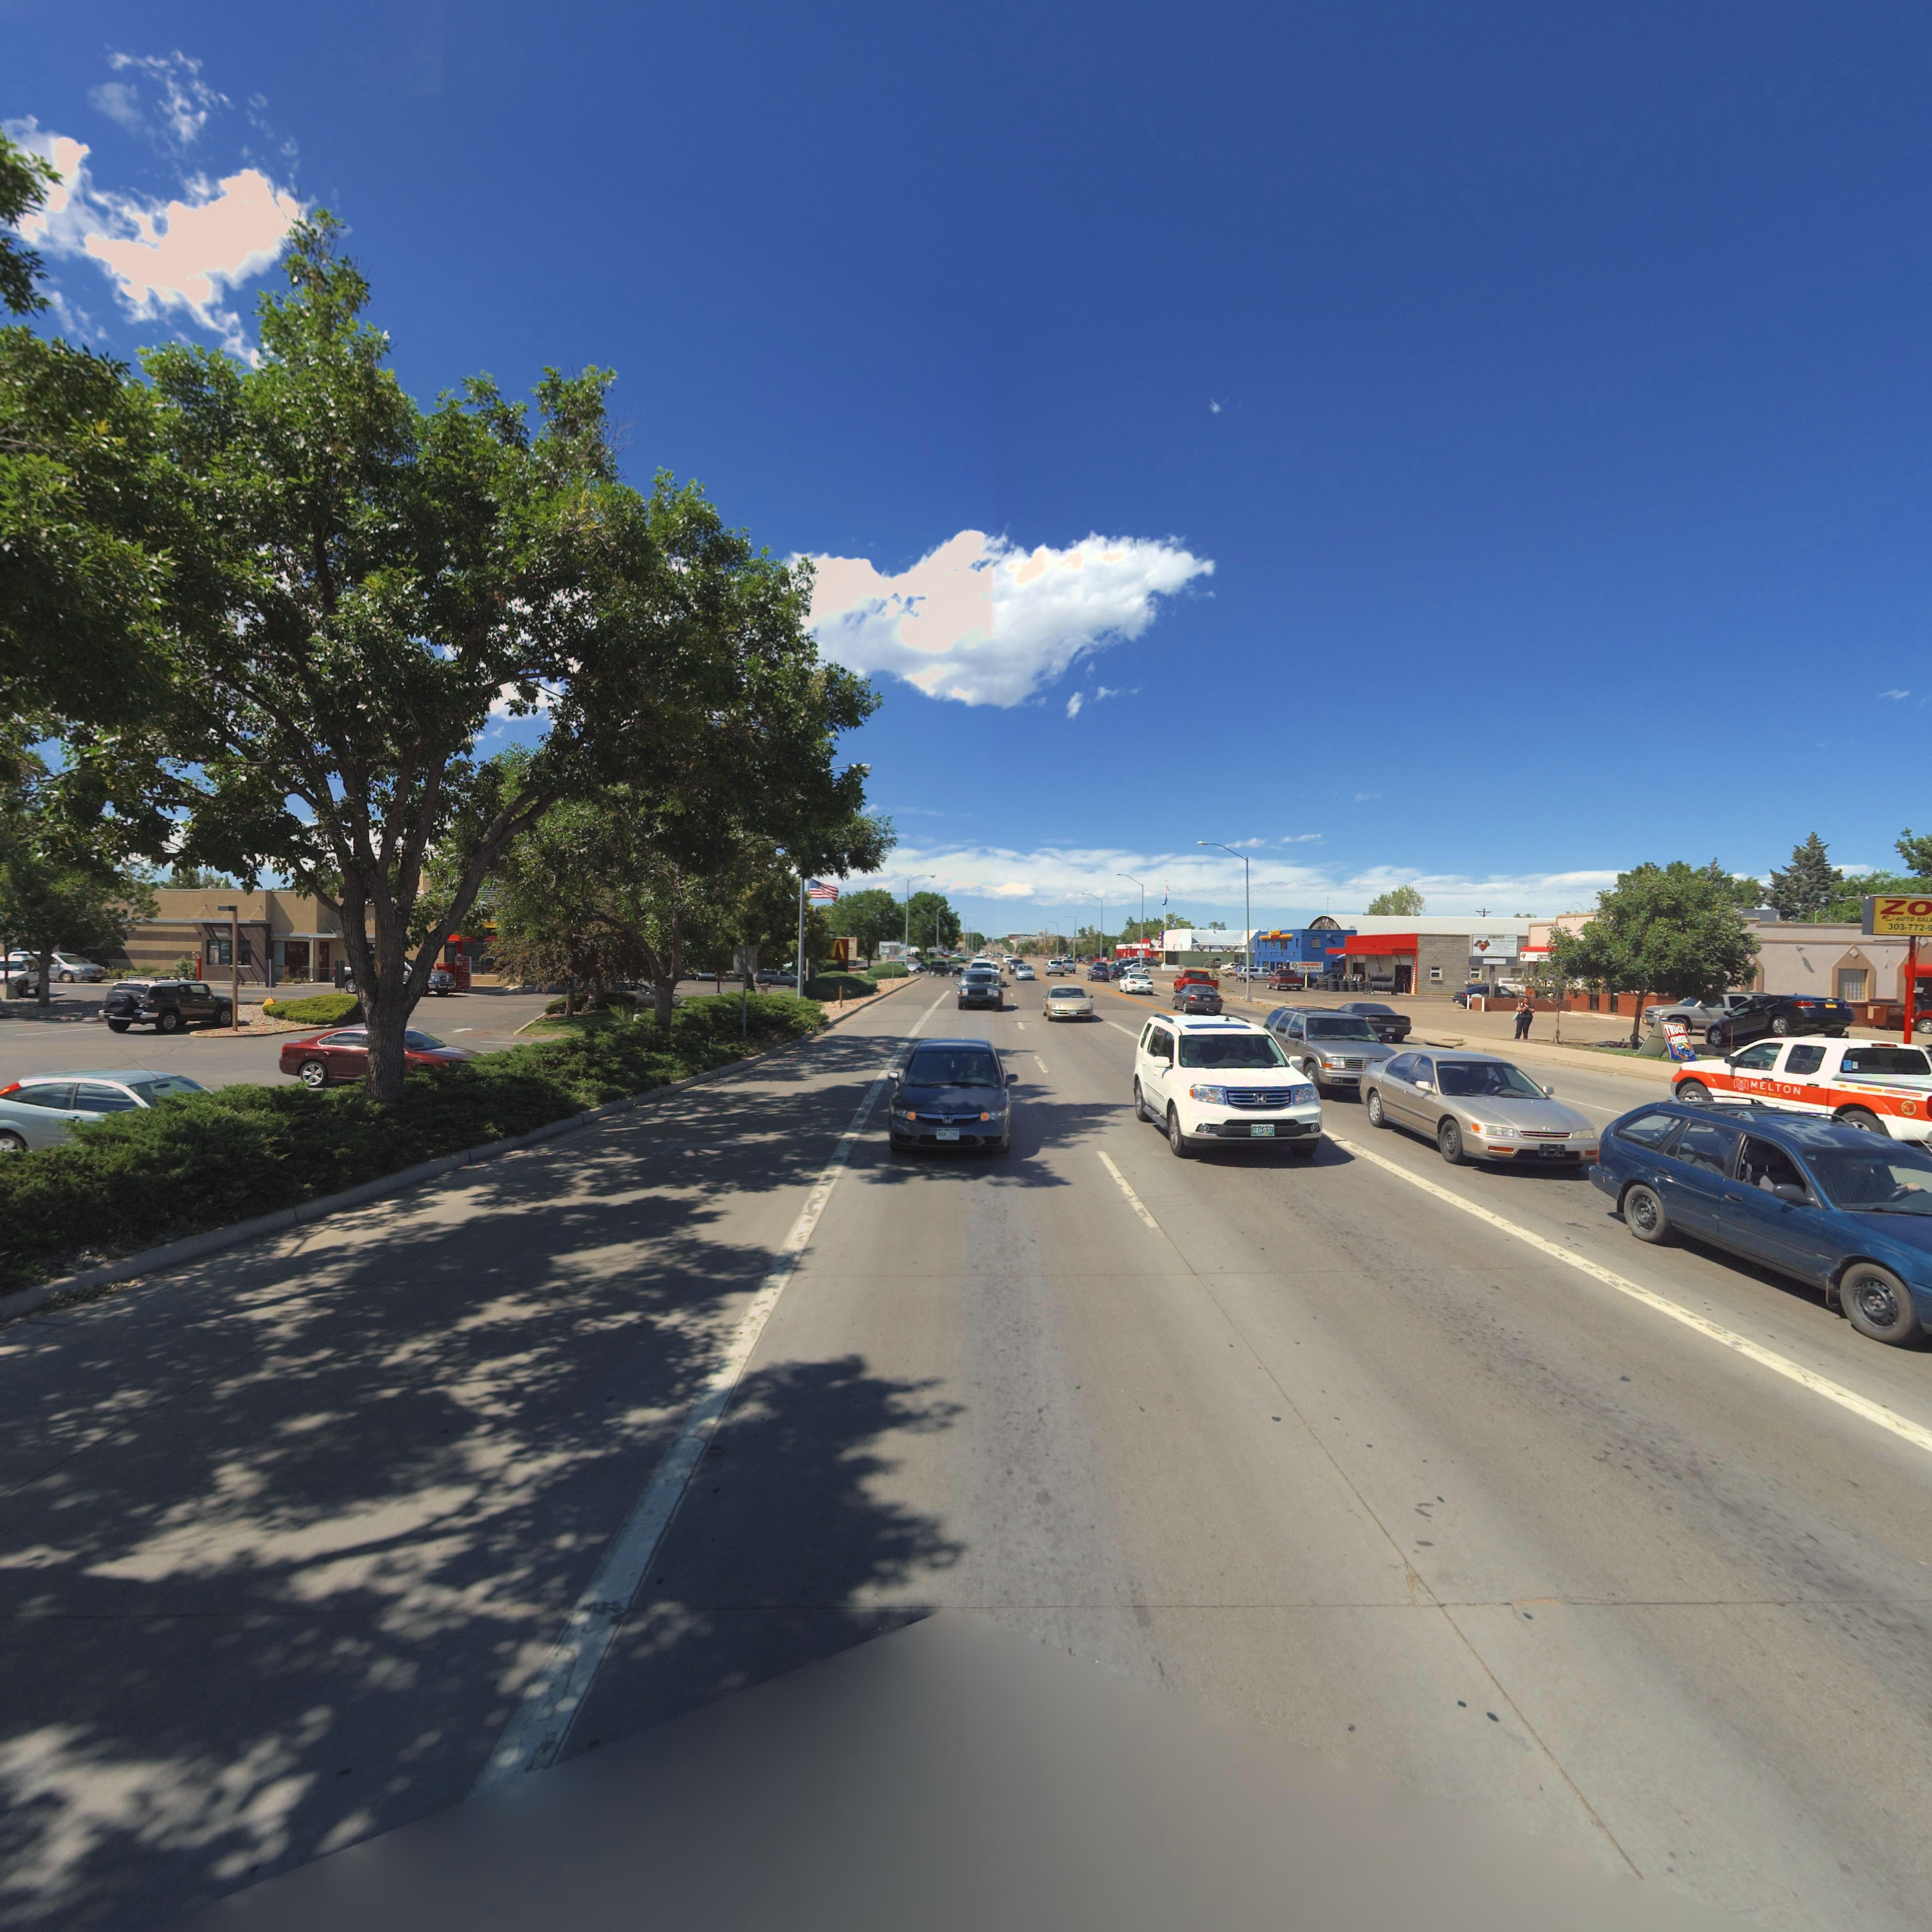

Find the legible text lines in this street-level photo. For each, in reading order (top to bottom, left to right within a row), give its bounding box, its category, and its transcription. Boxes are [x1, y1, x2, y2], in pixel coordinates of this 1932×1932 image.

[1879, 898, 1932, 916] BusinessName: ZO
[1194, 944, 1239, 952] BusinessName: VFW